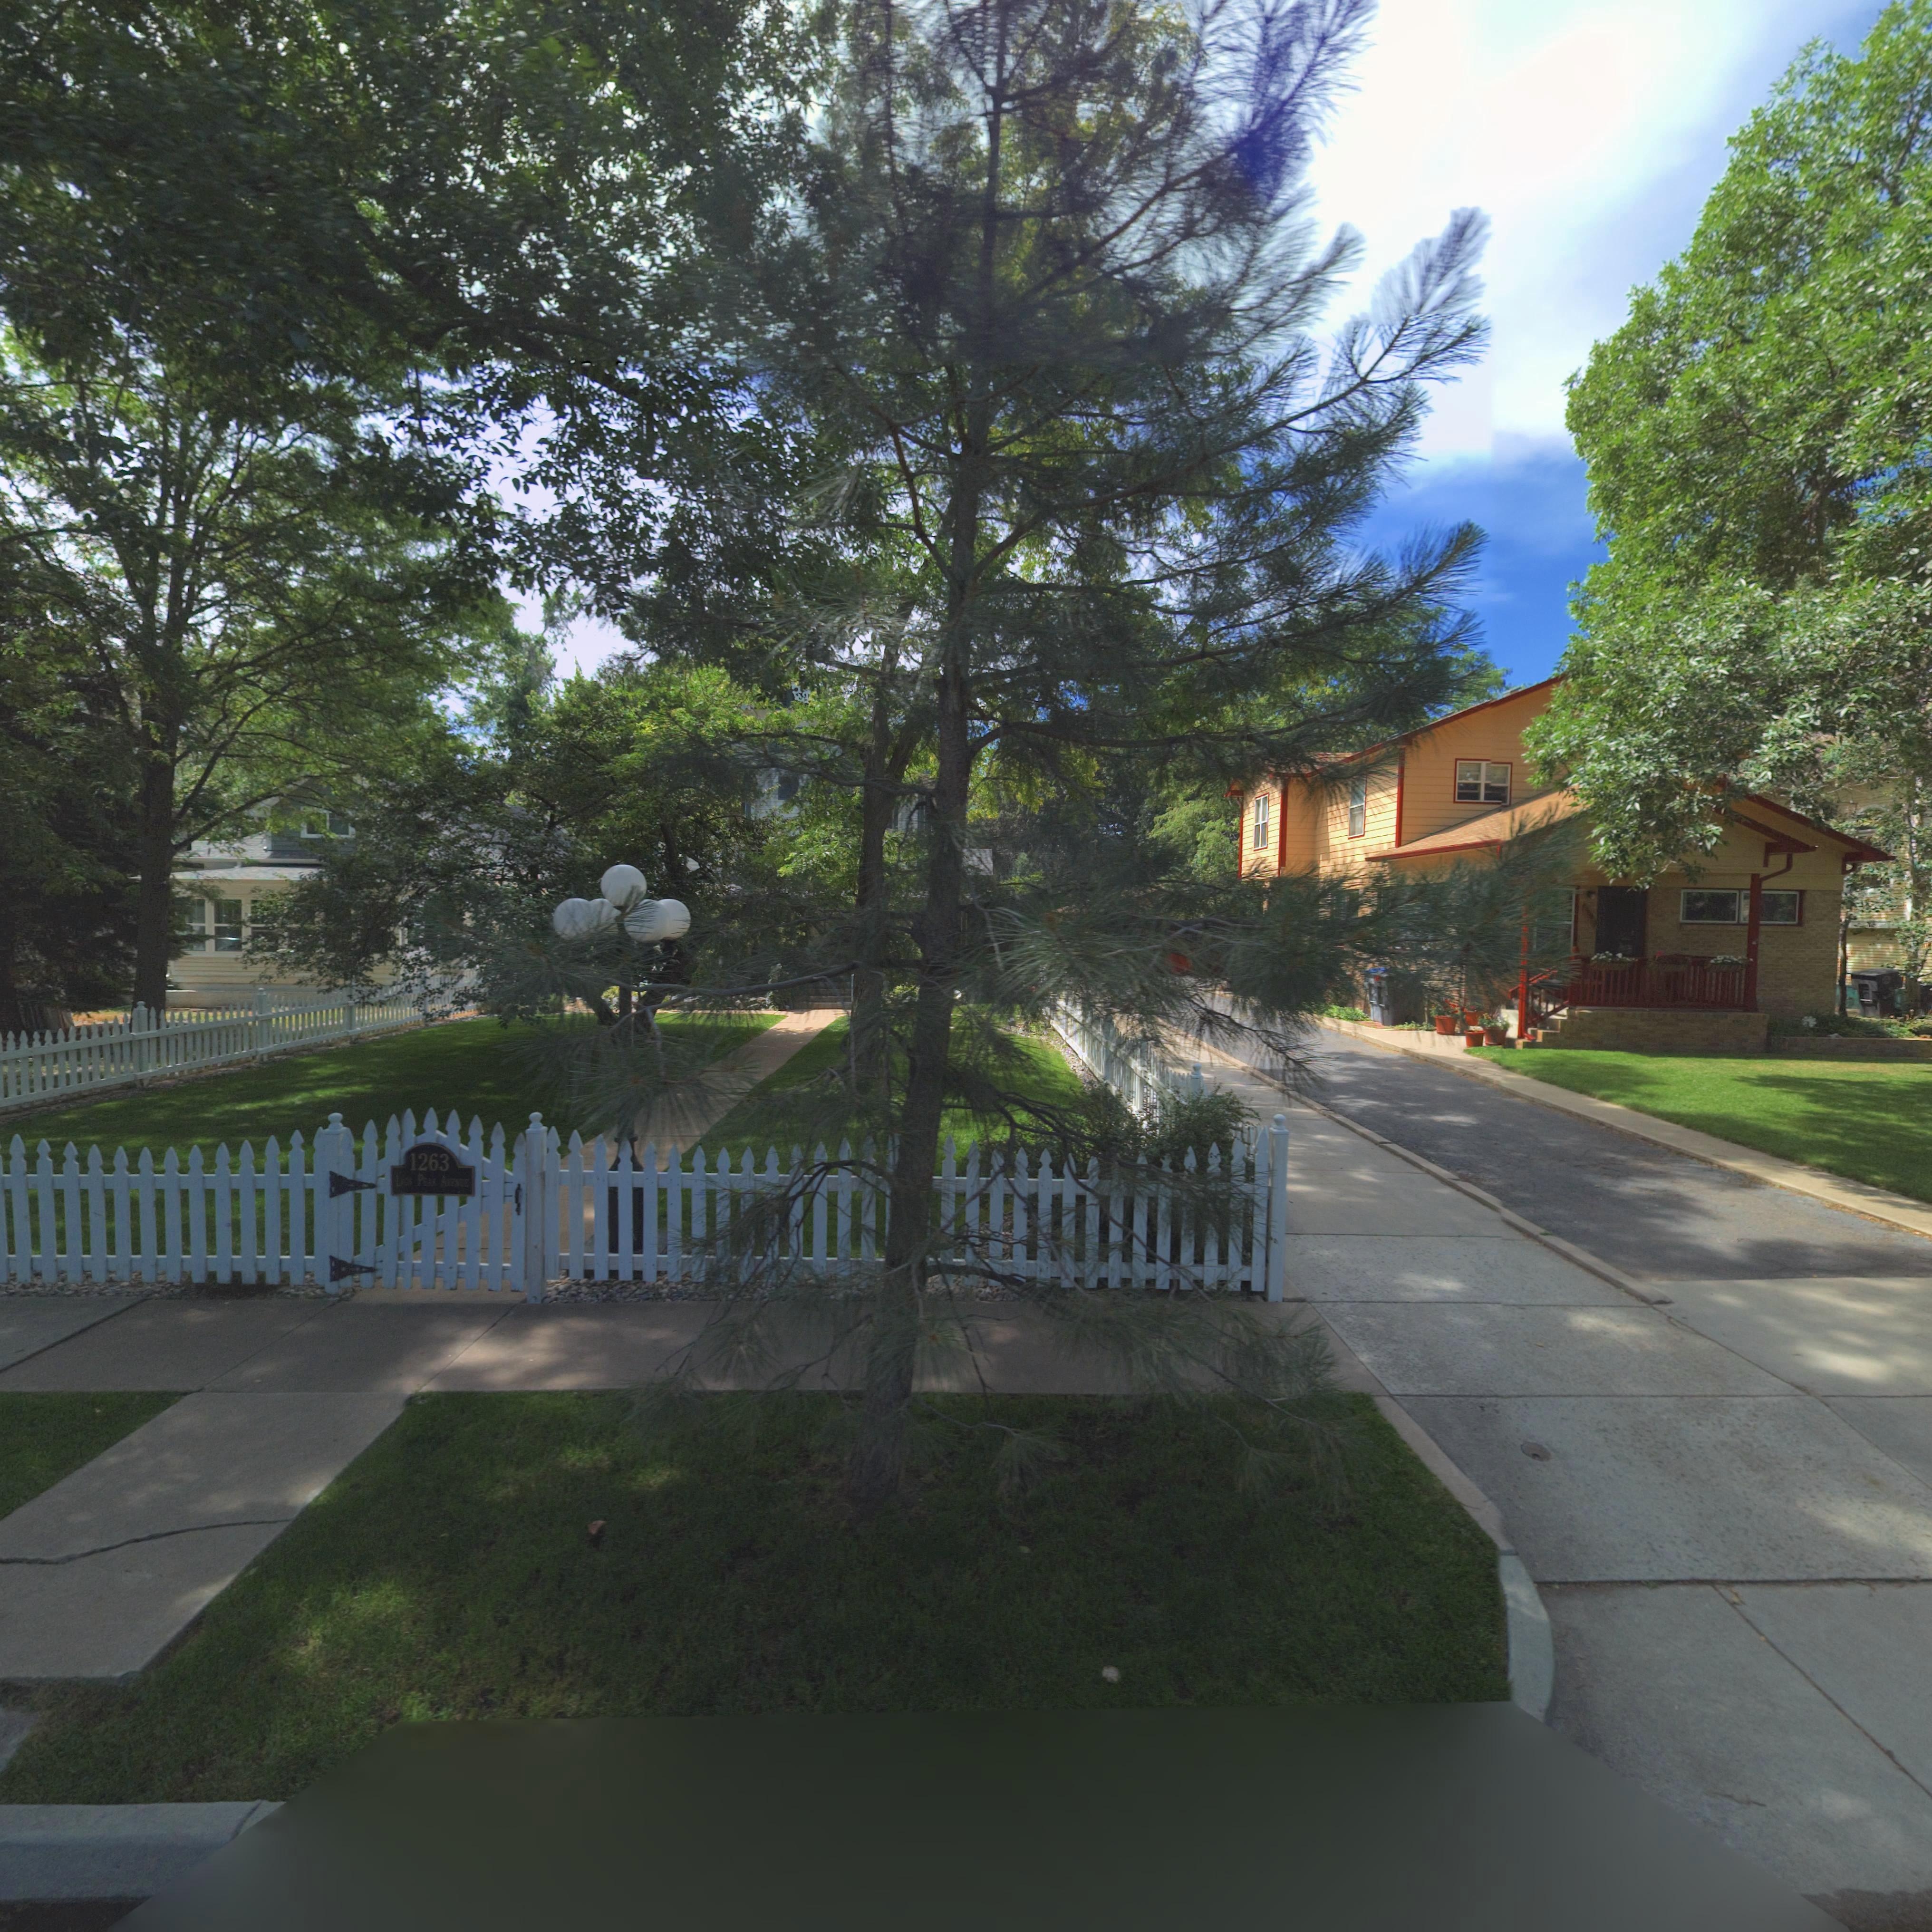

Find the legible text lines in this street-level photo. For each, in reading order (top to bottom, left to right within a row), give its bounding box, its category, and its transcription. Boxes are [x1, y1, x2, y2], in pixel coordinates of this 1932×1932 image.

[407, 1150, 451, 1172] StreetNumber: 1263
[396, 1173, 471, 1188] StreetName: L**GS PEA* A*E**E